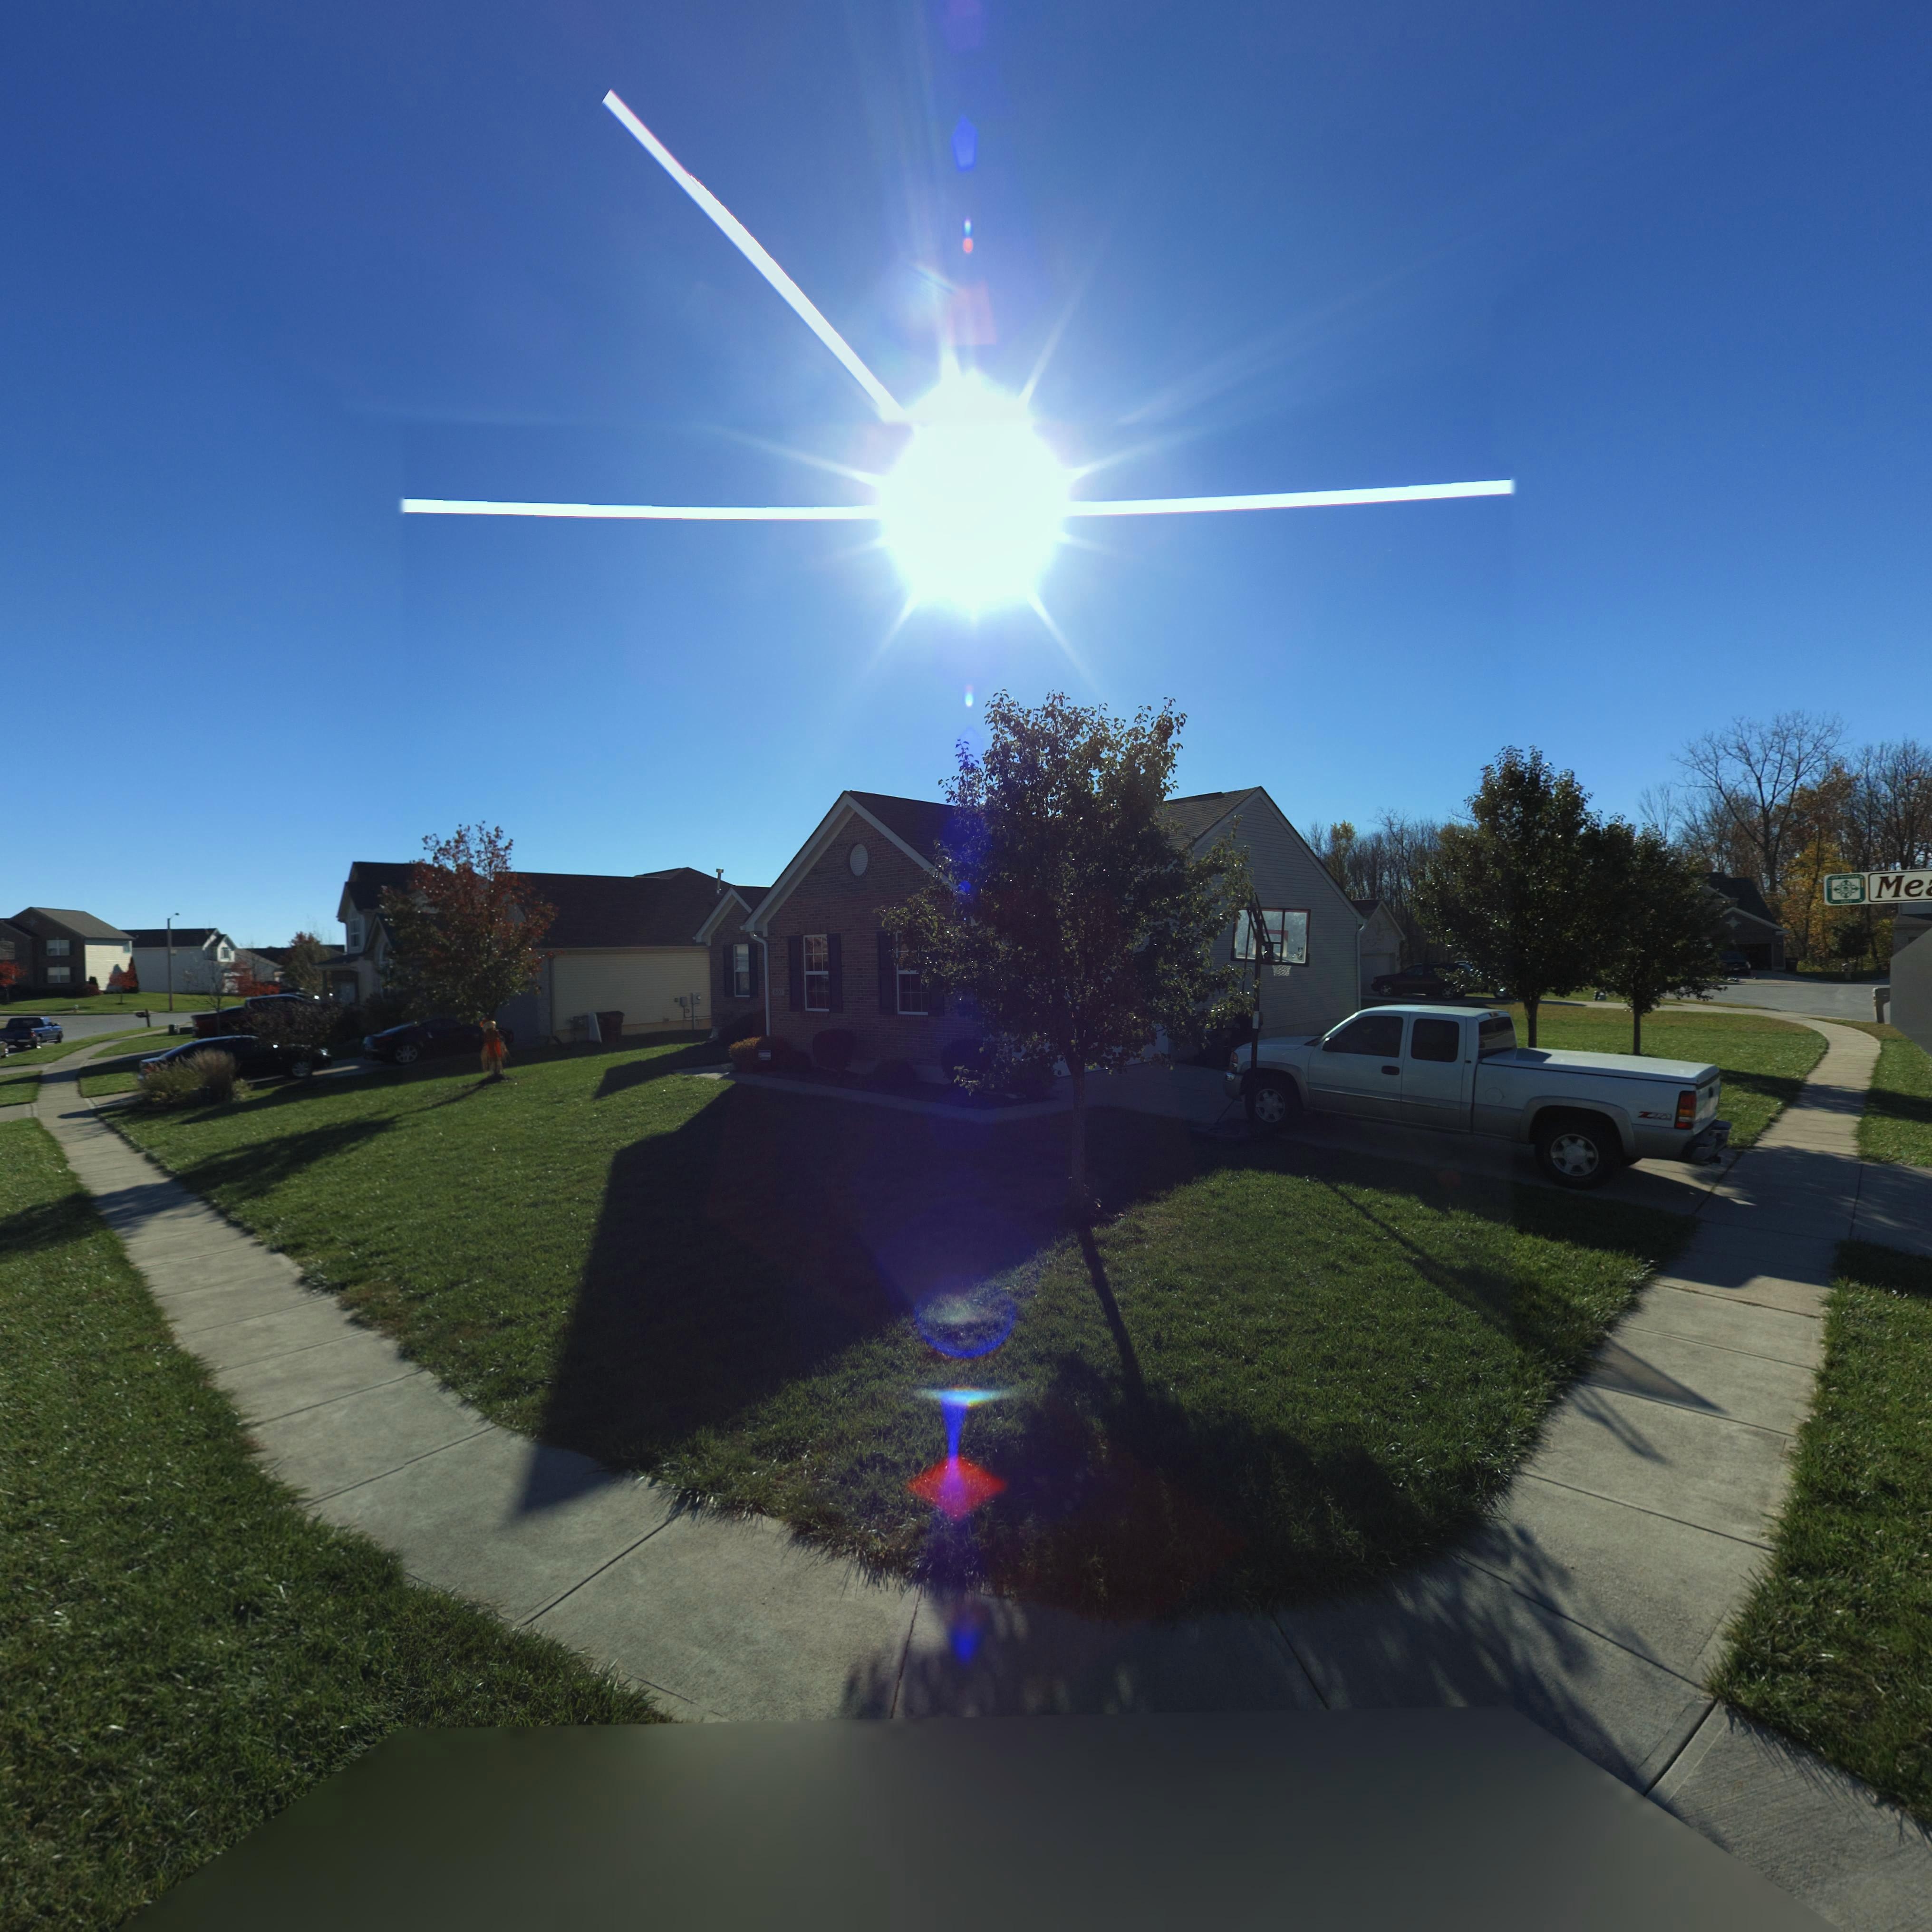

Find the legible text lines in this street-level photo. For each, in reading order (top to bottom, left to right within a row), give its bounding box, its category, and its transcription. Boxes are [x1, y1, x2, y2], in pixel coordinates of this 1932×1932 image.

[773, 989, 783, 995] StreetNumber: 600